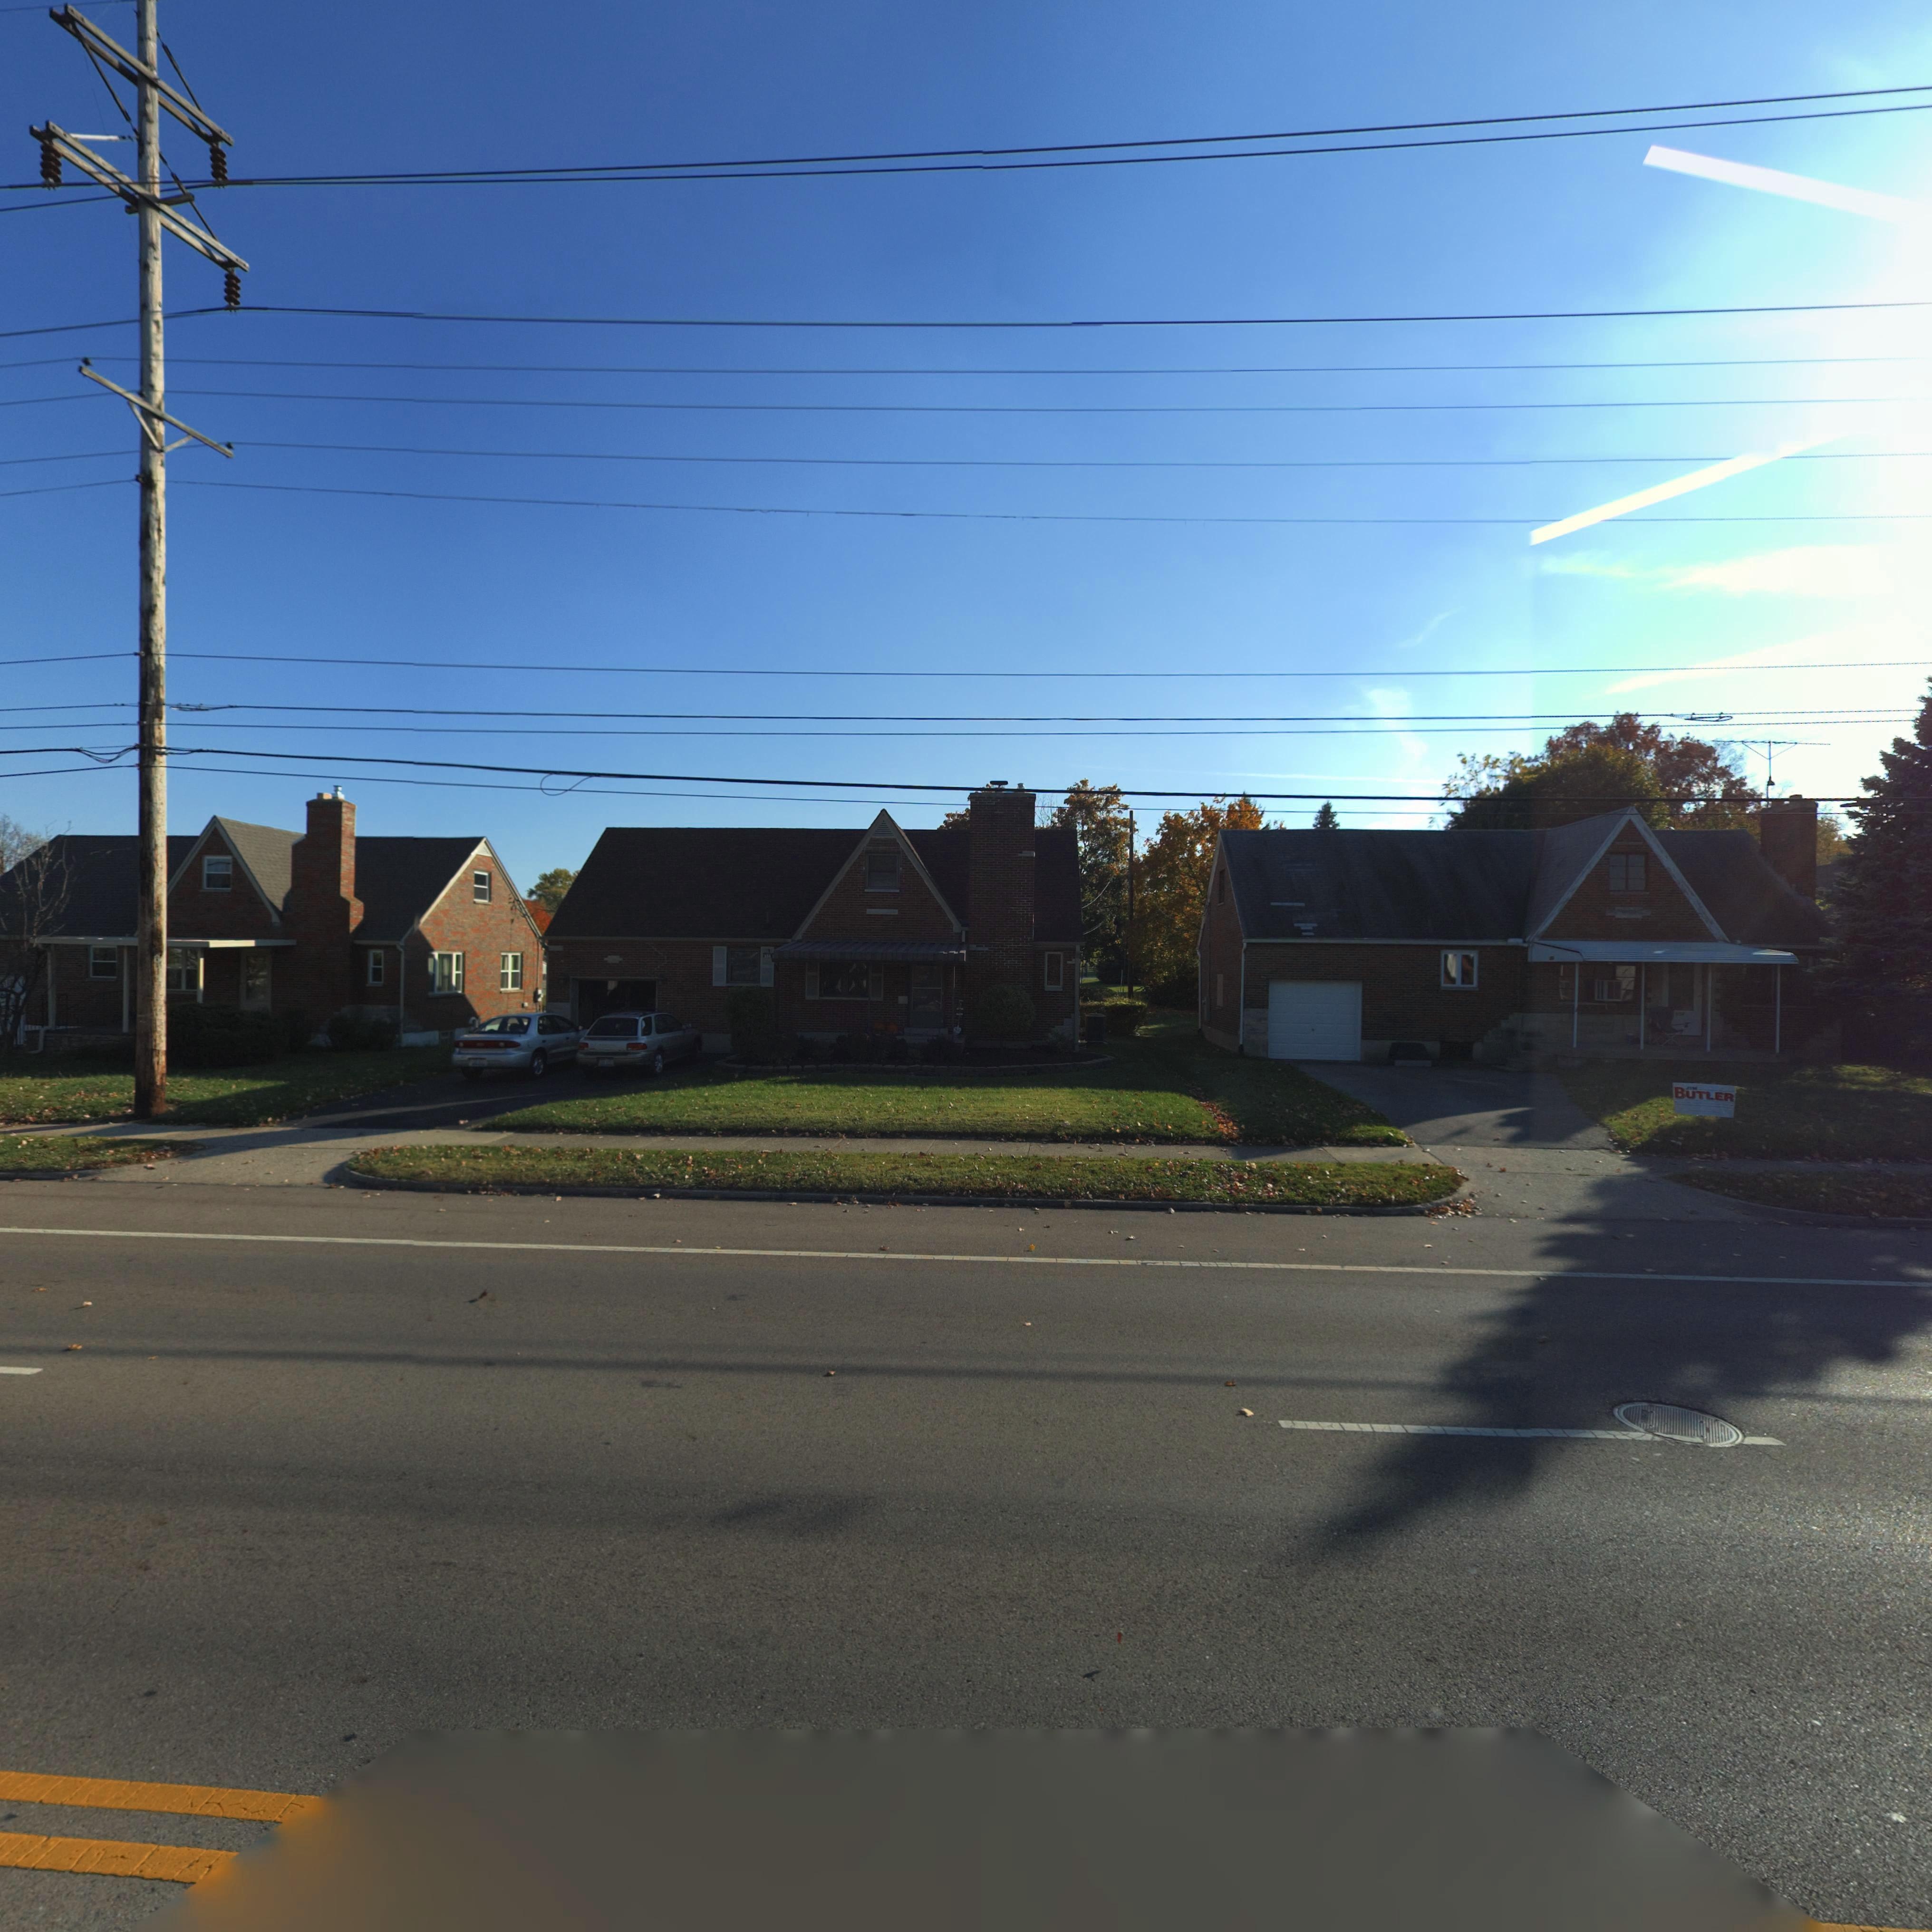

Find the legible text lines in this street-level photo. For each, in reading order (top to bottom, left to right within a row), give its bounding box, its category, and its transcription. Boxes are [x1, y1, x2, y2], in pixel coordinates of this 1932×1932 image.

[763, 954, 771, 958] StreetNumber: 5*8